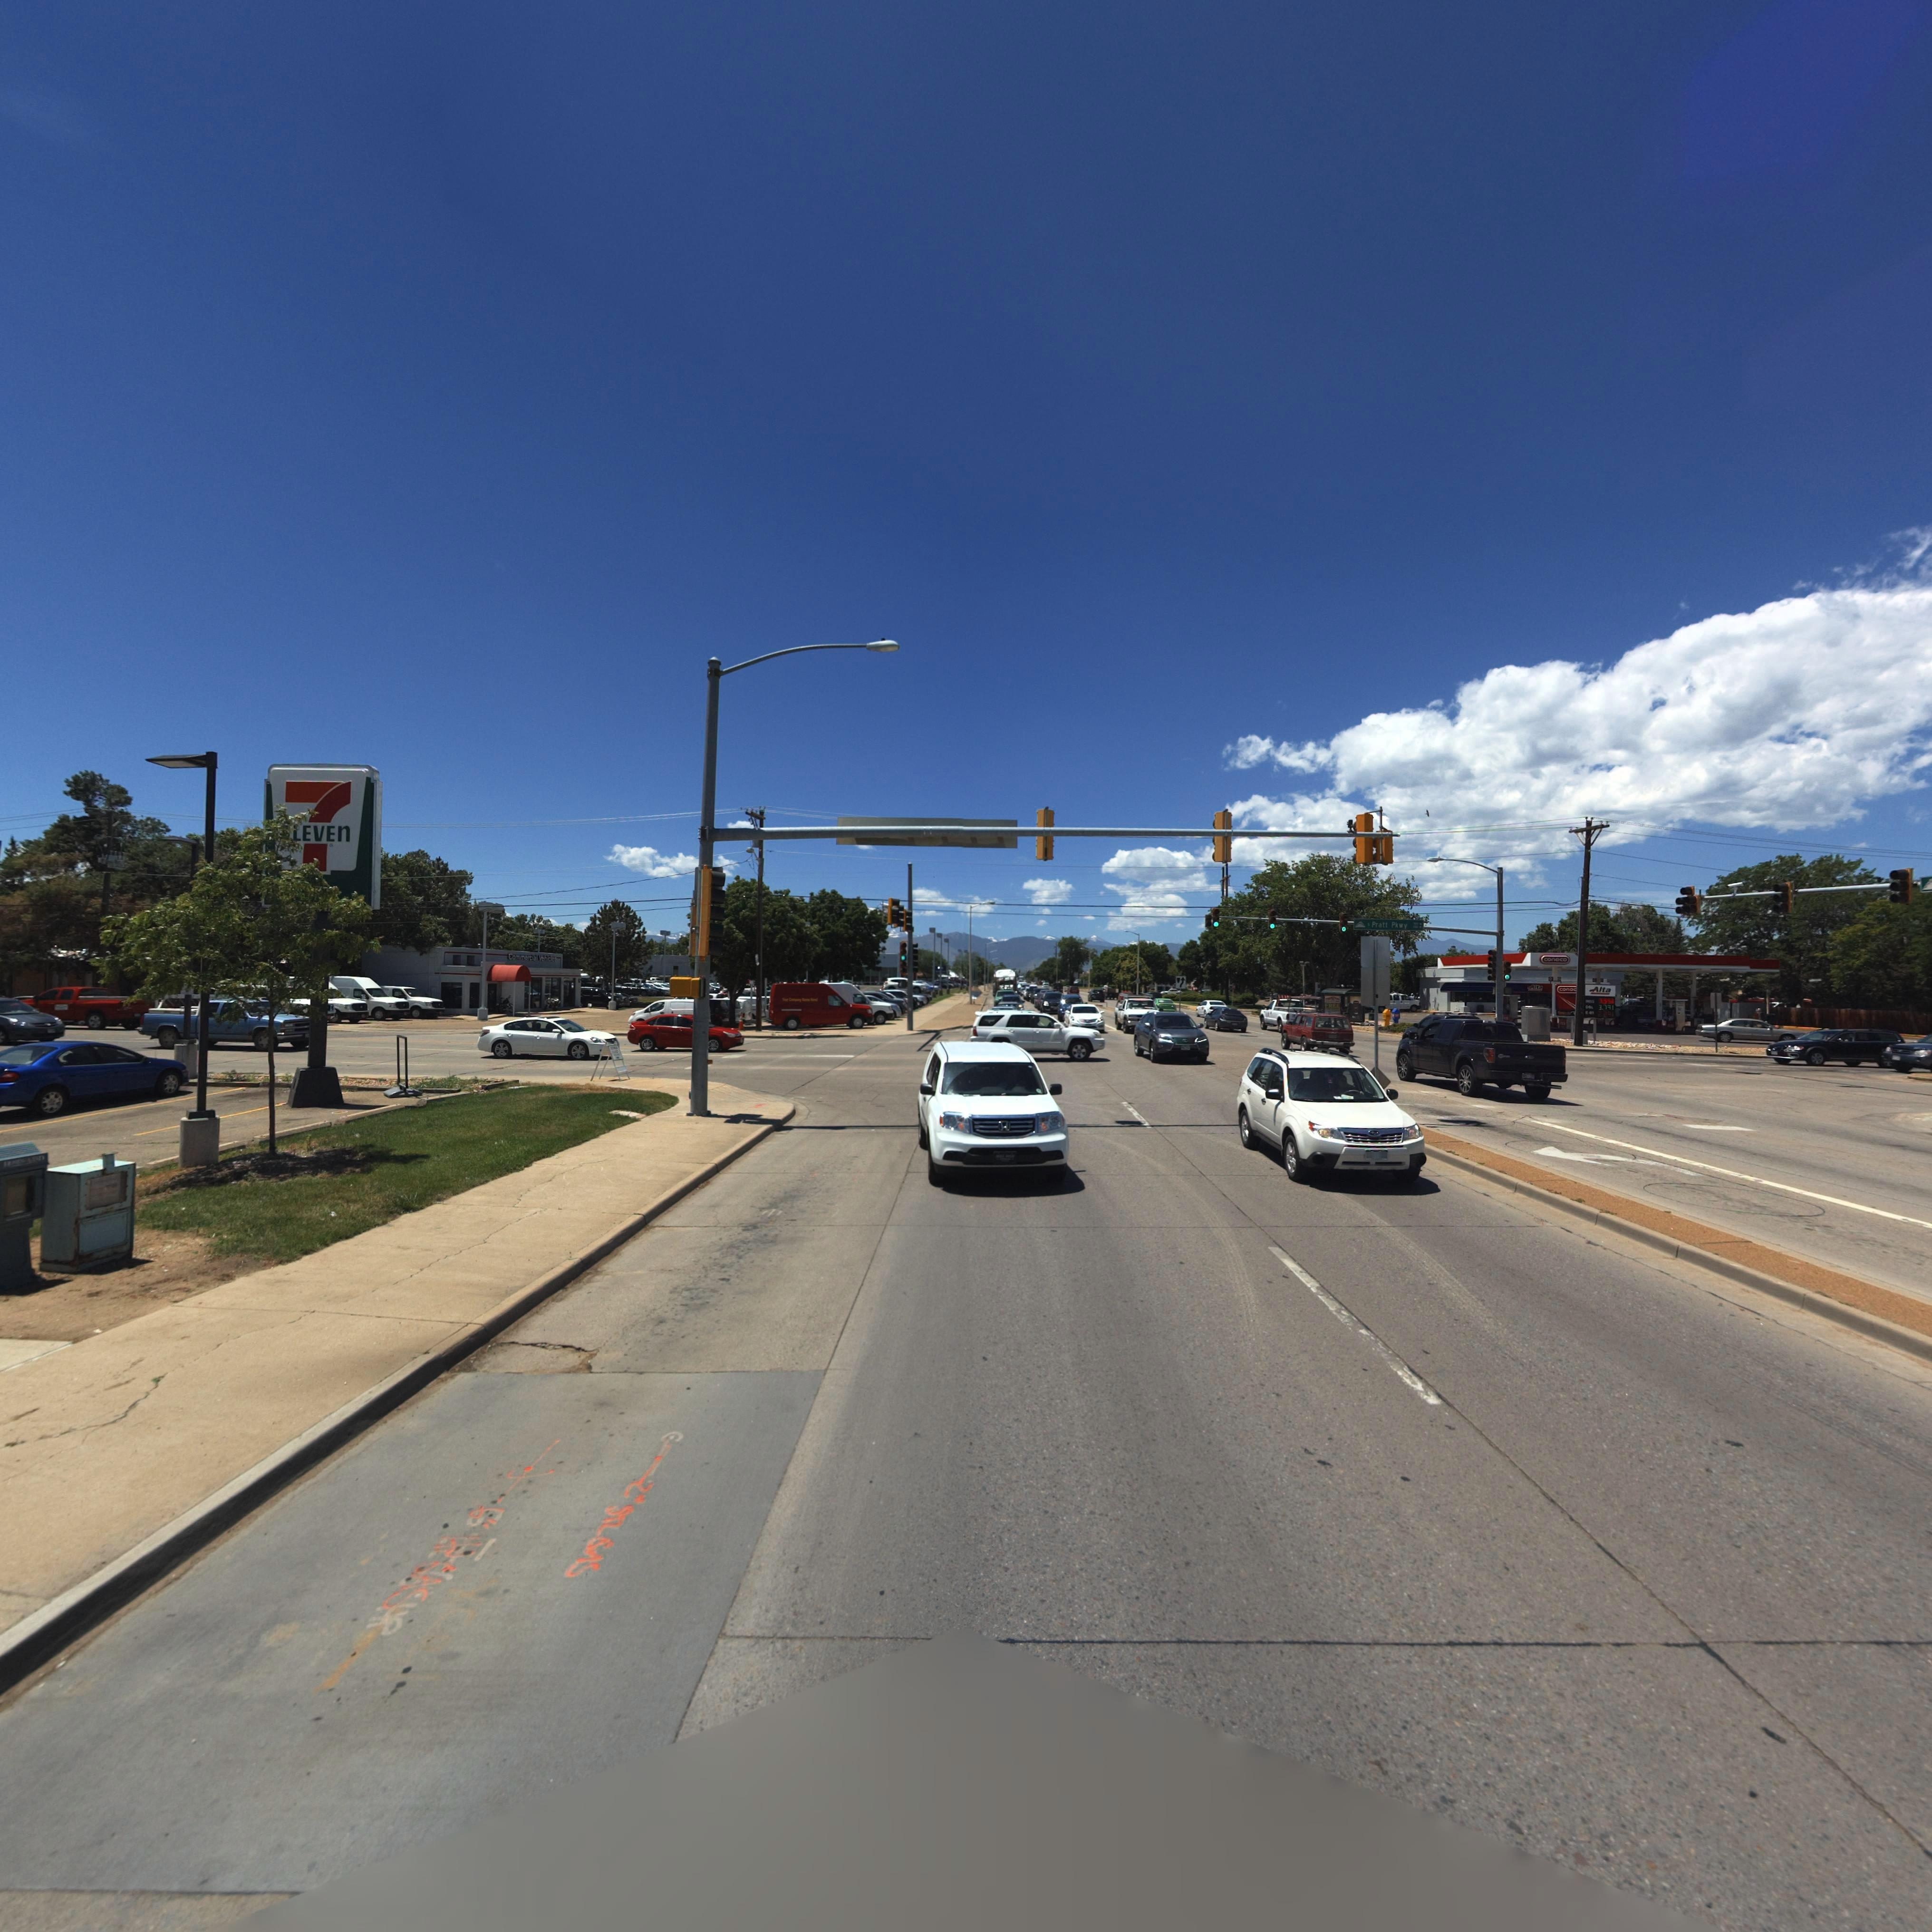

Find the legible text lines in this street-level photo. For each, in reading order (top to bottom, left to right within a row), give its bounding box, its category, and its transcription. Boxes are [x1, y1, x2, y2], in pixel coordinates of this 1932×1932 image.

[285, 779, 351, 870] BusinessName: 7
[280, 824, 351, 842] BusinessName: *LEVEn
[1367, 921, 1408, 929] StreetName: * Pratt Pkwy
[1543, 957, 1567, 962] BusinessName: conoco
[1559, 987, 1577, 991] BusinessName: cono*